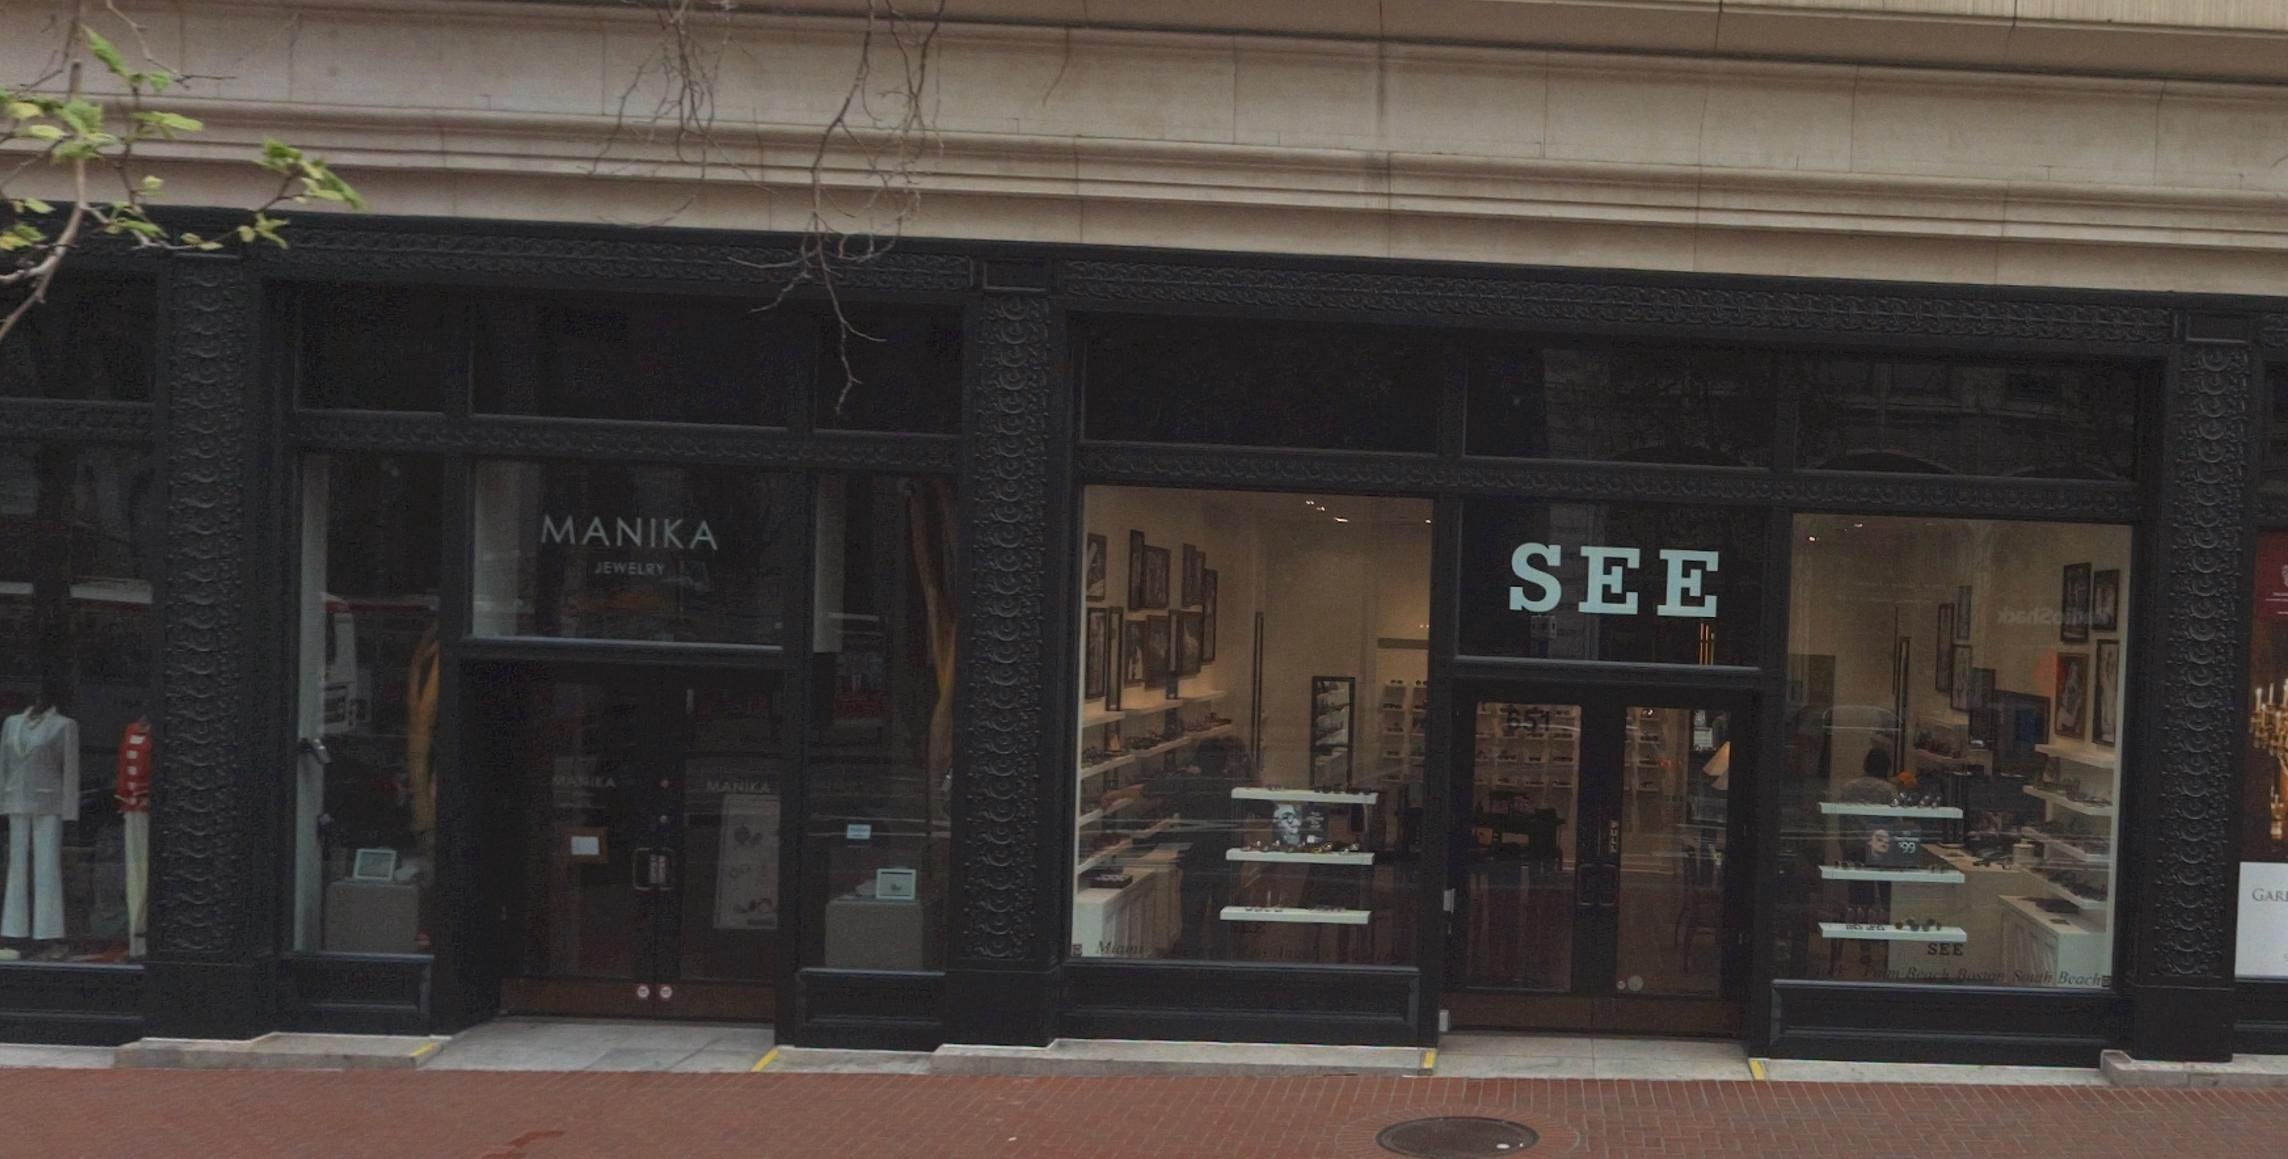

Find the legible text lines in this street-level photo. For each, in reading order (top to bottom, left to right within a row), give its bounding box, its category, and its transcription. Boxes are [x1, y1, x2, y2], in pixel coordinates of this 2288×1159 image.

[536, 511, 725, 554] BusinessName: MANIKA
[590, 558, 668, 578] BusinessName: JEWELRY
[1505, 537, 1723, 622] BusinessName: SEE
[548, 771, 620, 791] BusinessName: MANIKA
[703, 777, 774, 797] BusinessName: MANIKA
[1607, 818, 1621, 855] None: PULL
[2249, 885, 2287, 905] None: GAR
[1089, 937, 1150, 958] None: Miami
[1925, 937, 1966, 959] BusinessName: SEE
[2006, 964, 2107, 990] None: South Beach